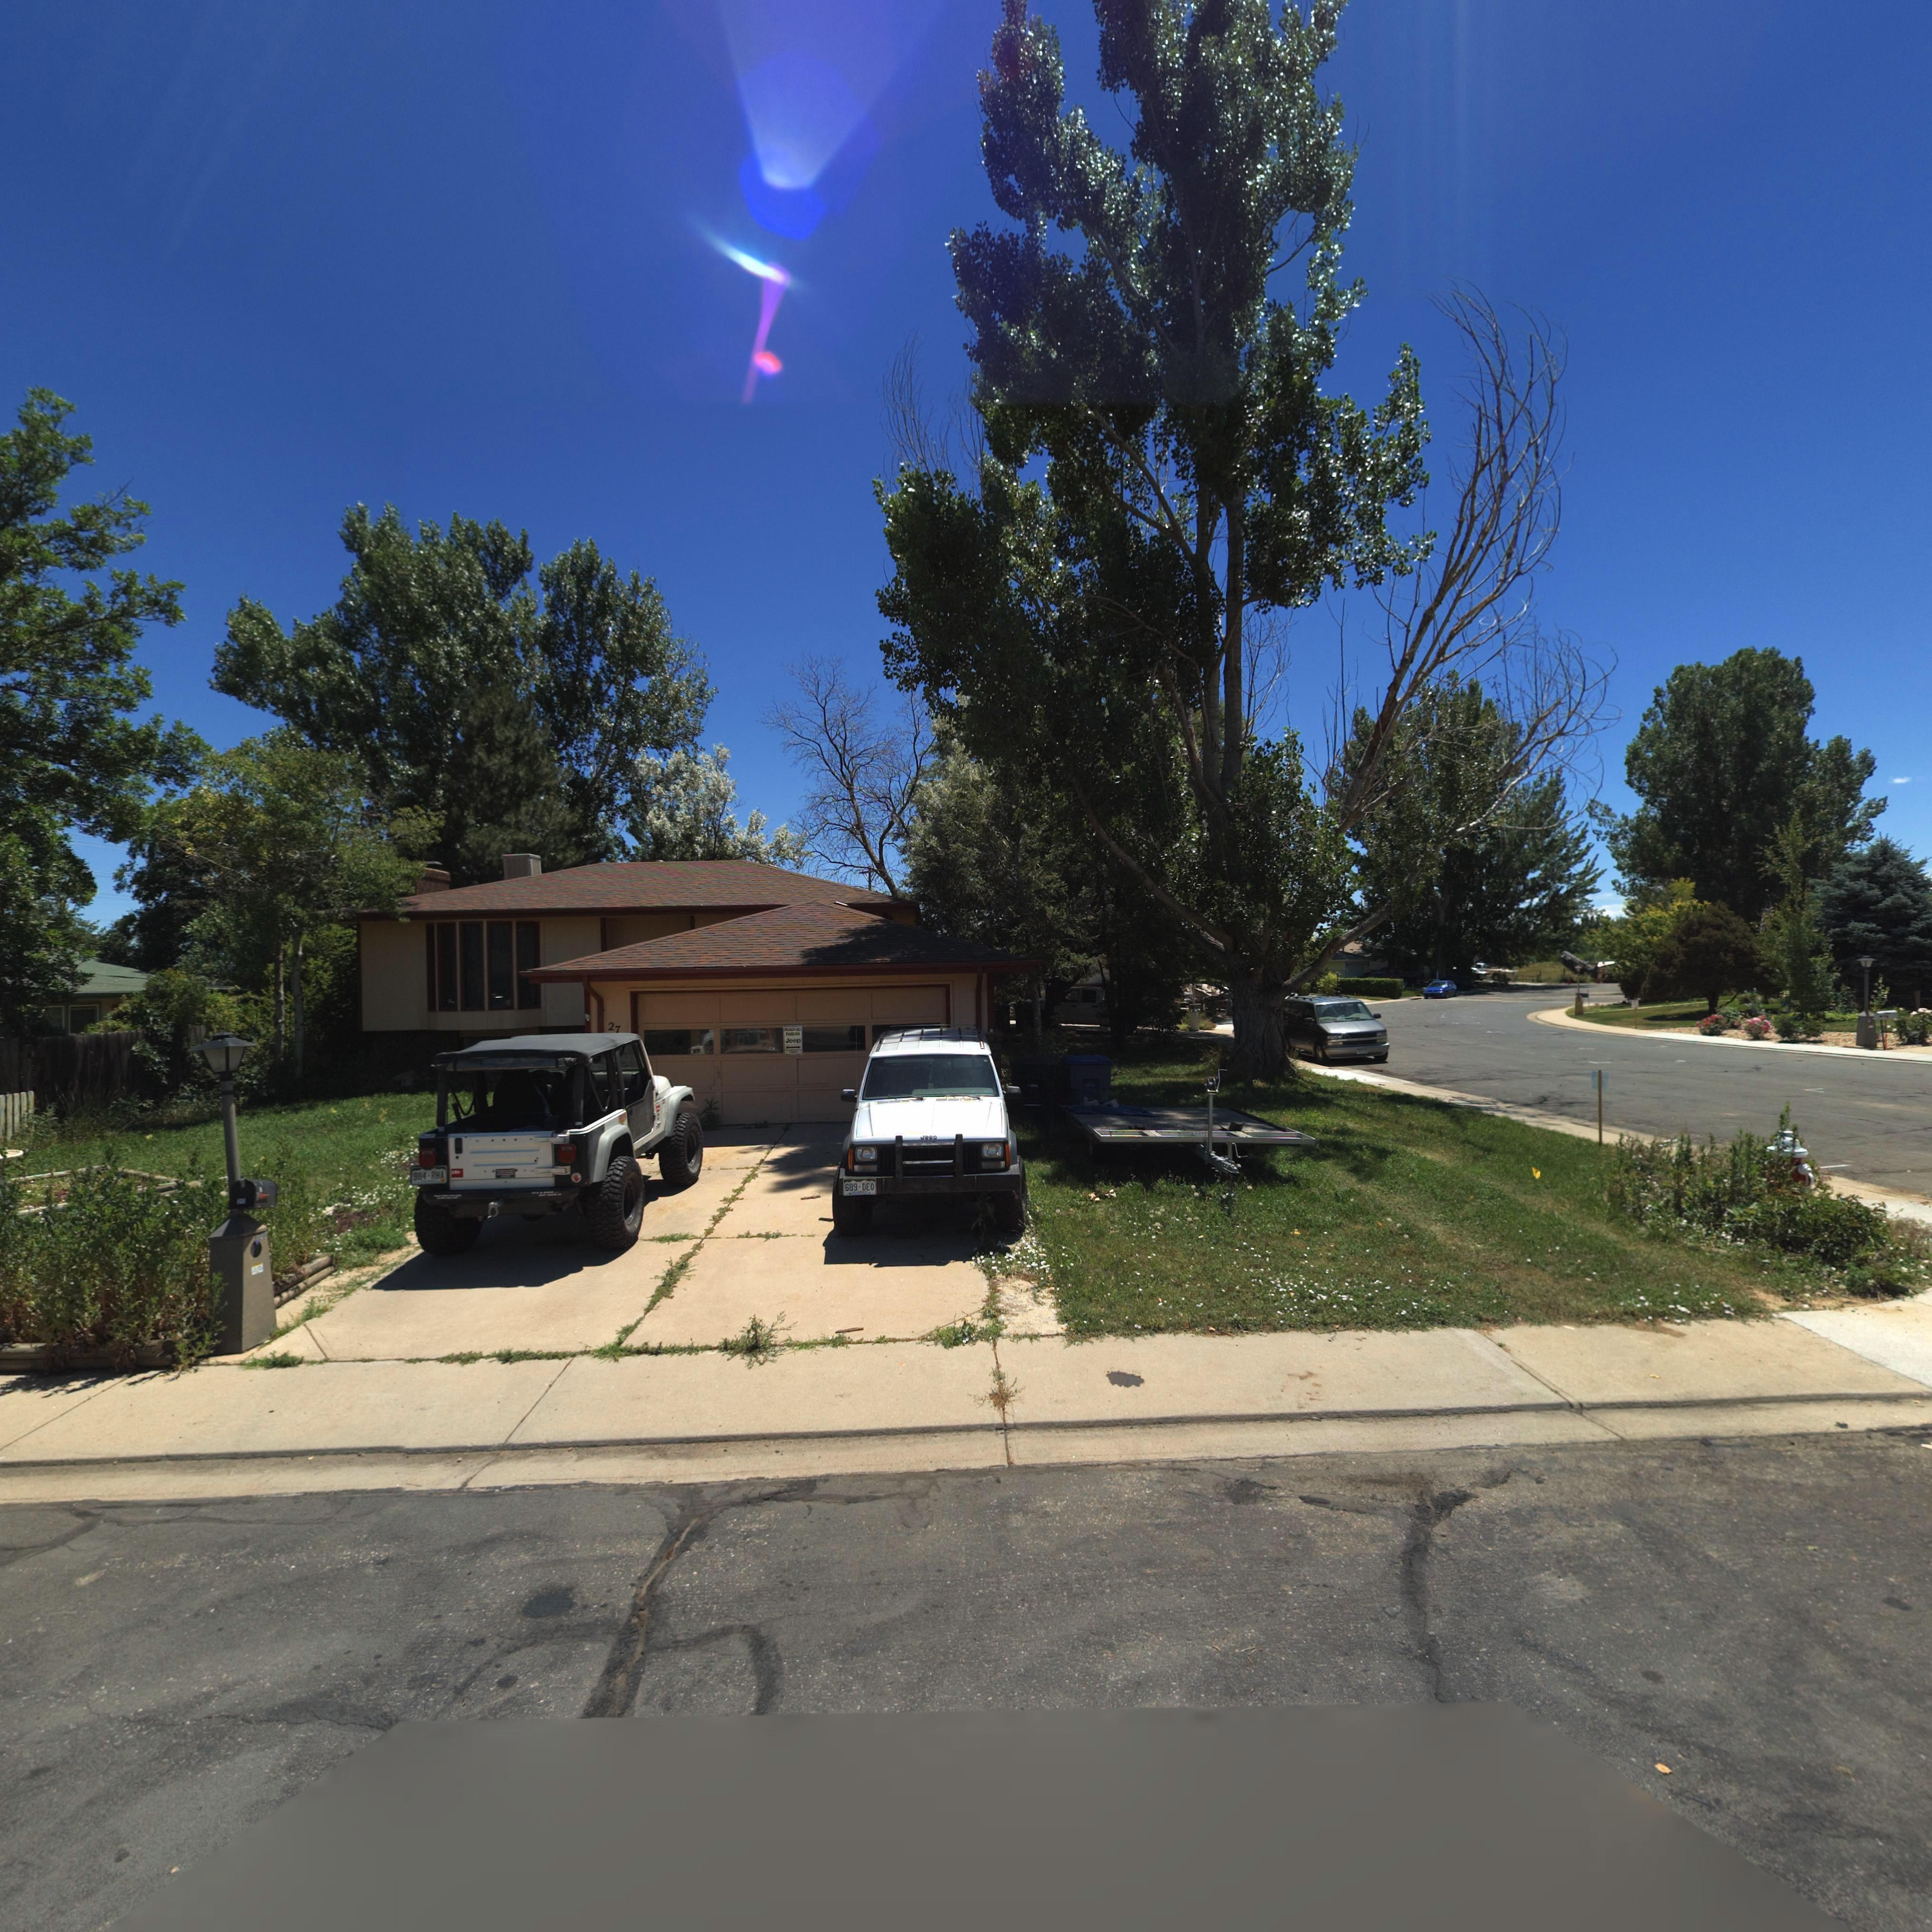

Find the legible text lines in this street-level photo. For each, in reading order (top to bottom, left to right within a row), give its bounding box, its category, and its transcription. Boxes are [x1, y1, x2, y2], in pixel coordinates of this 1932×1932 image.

[607, 1021, 621, 1033] StreetNumber: 27